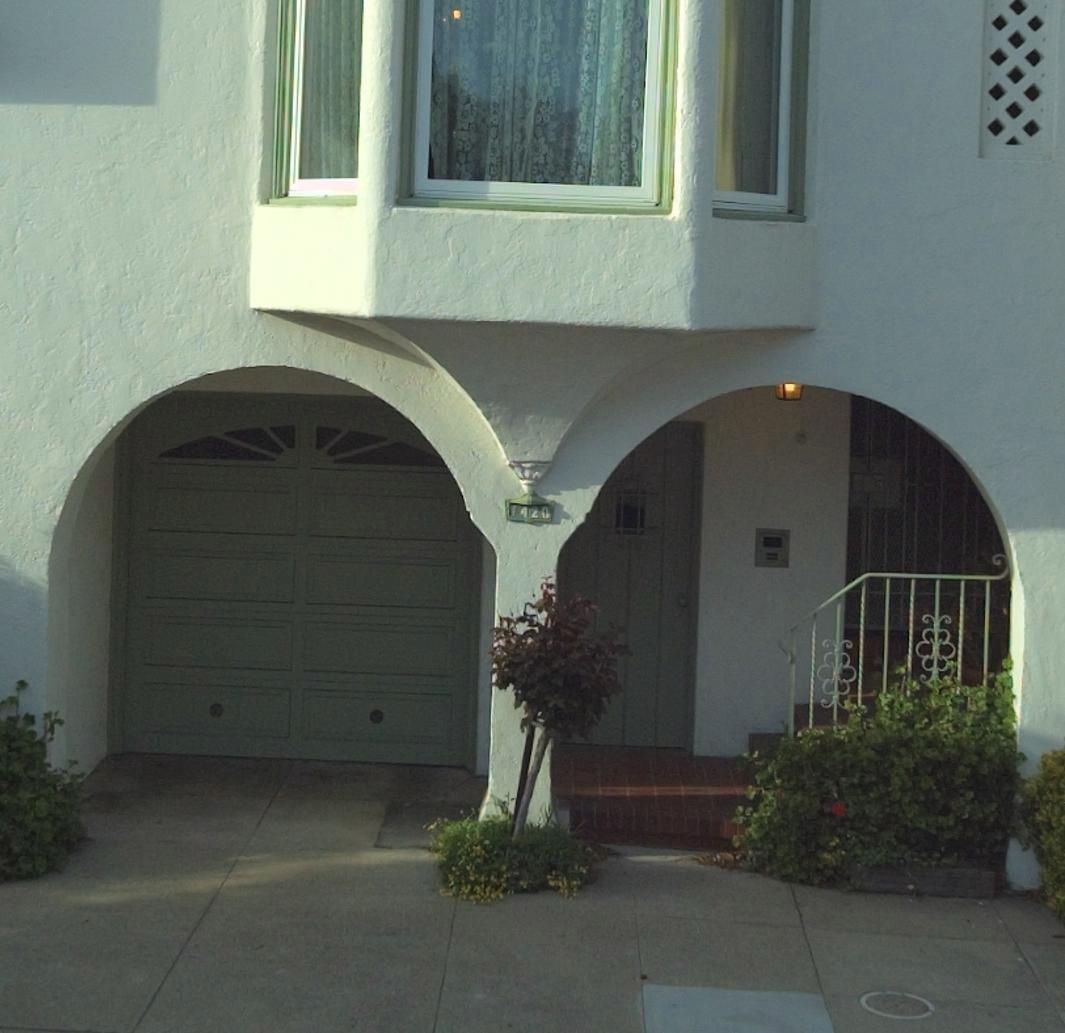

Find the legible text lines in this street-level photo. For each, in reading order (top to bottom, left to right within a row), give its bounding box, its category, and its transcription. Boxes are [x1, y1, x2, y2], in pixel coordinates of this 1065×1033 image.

[509, 504, 550, 520] StreetNumber: 1420